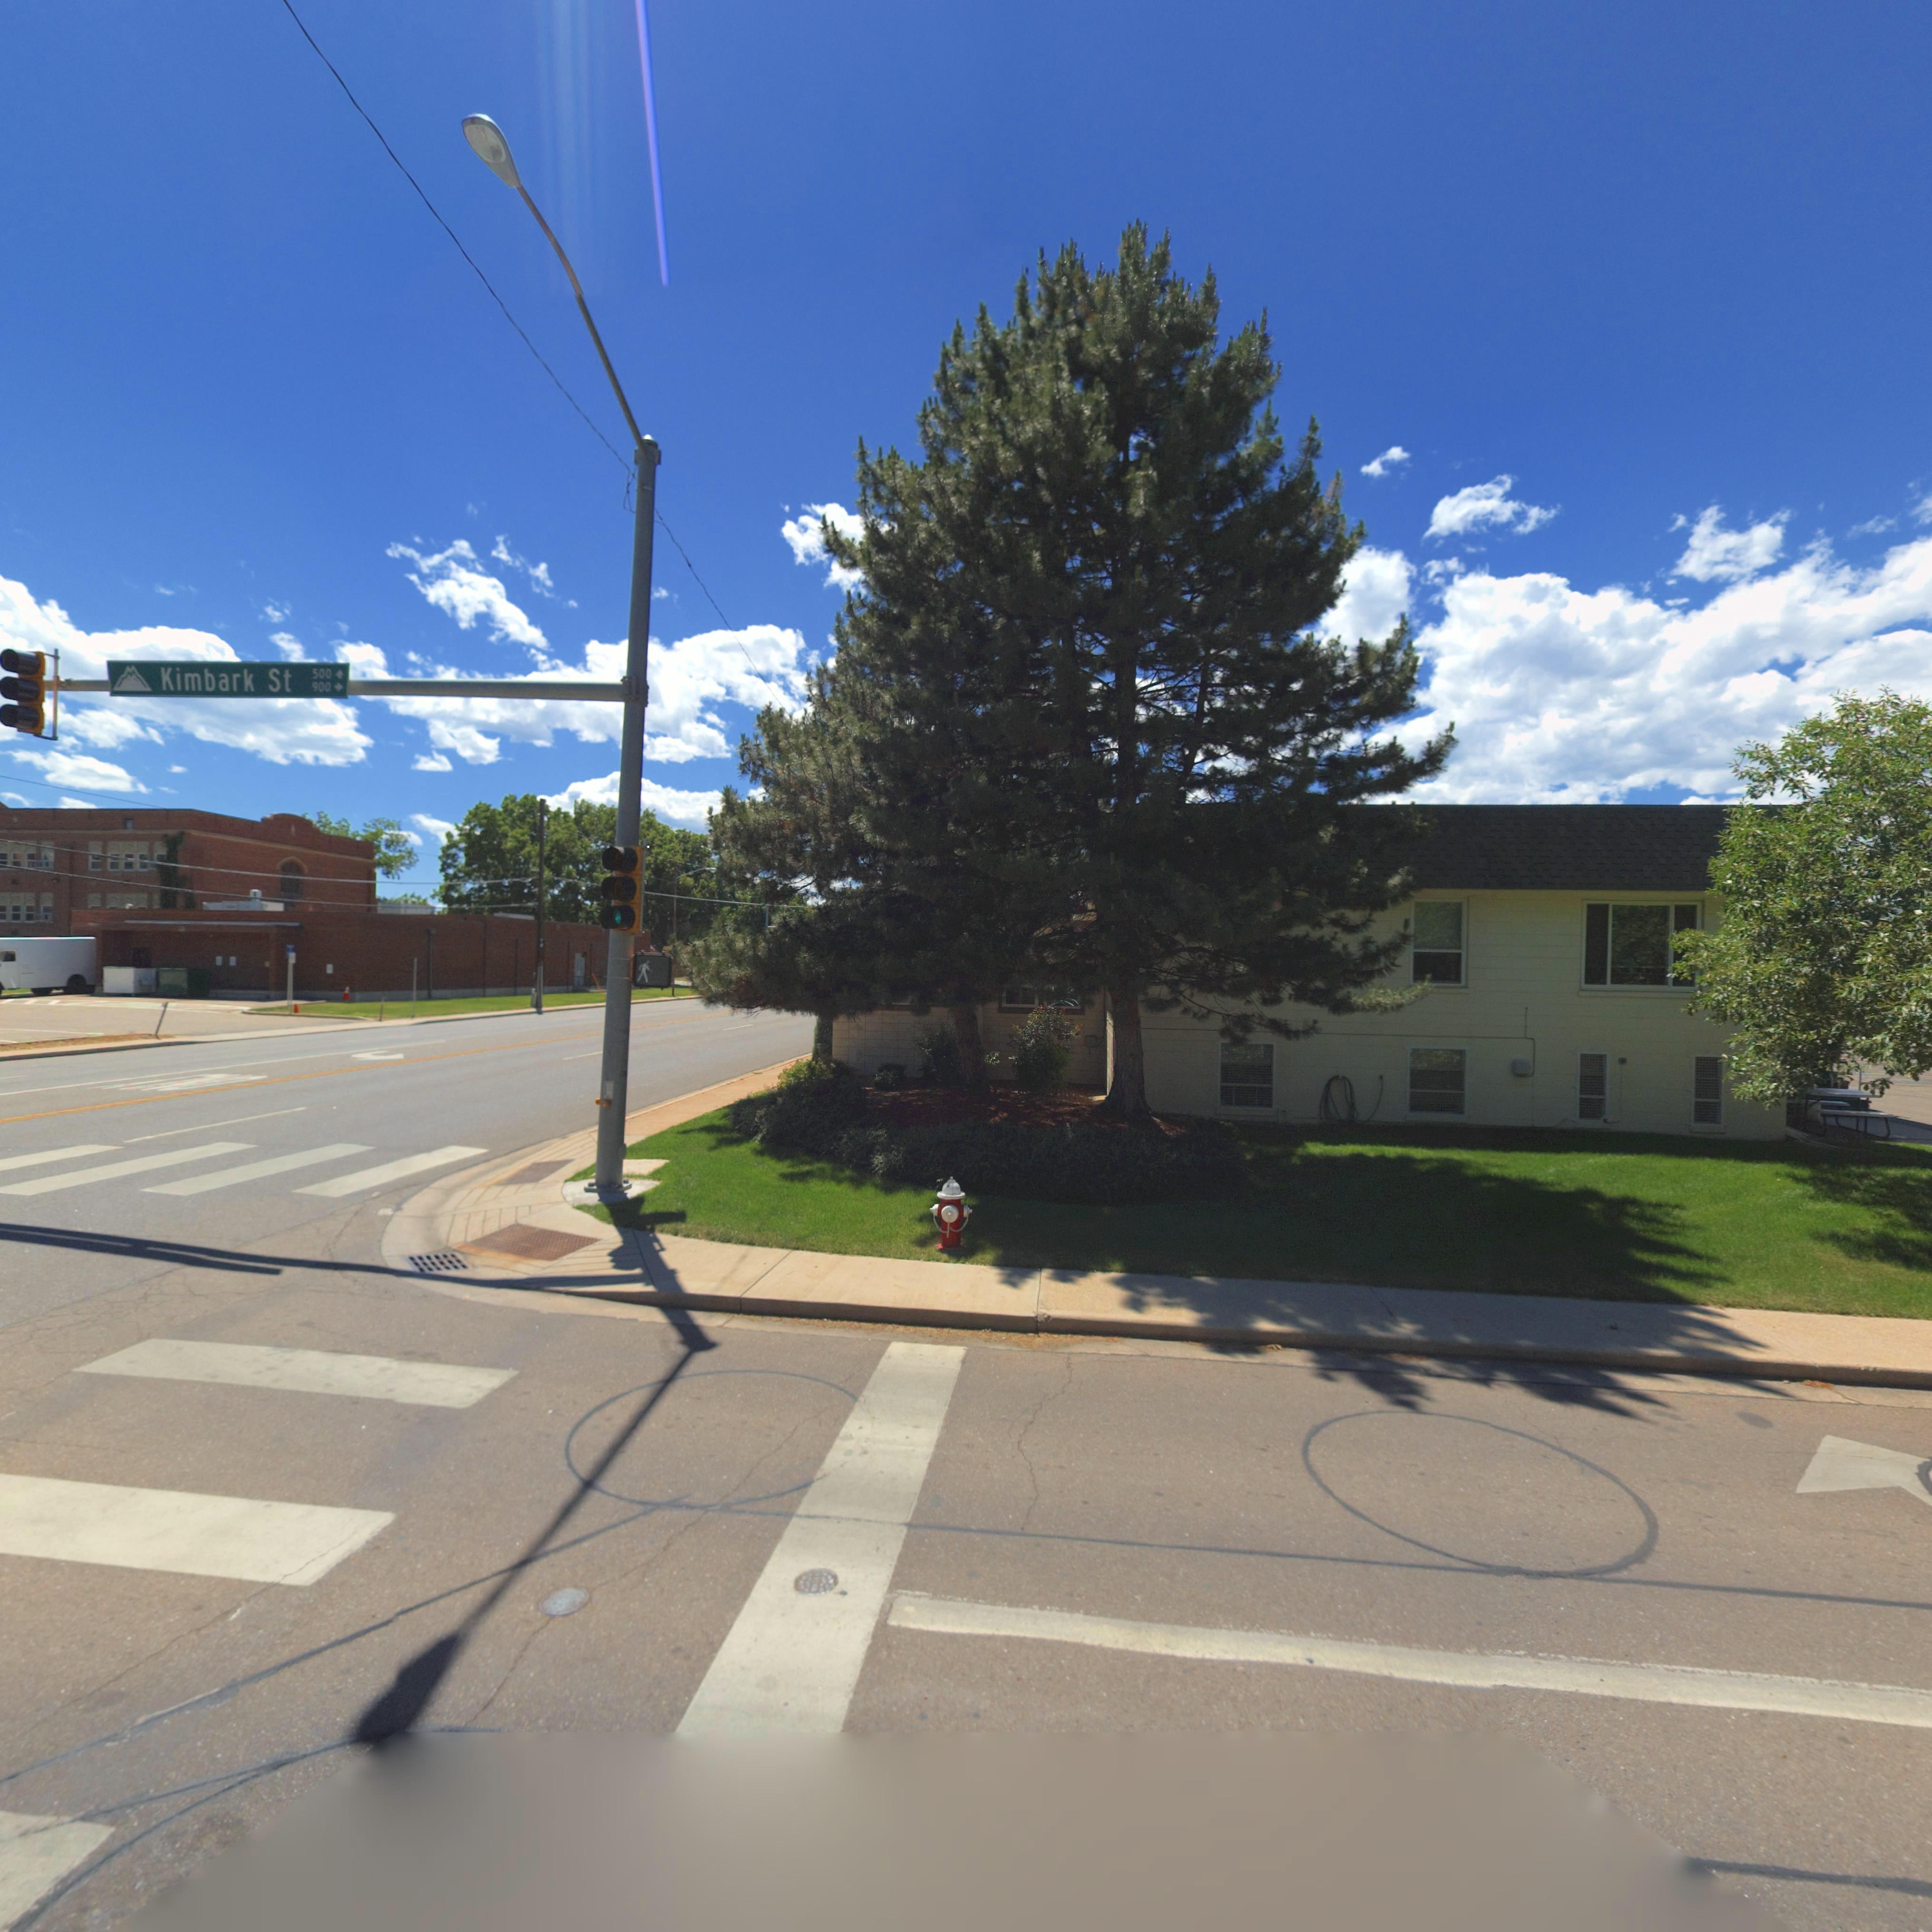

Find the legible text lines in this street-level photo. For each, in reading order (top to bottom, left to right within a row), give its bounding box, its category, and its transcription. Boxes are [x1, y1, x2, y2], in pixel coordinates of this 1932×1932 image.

[159, 666, 294, 693] StreetName: Kimbark St
[311, 667, 332, 679] StreetNumberRange: 500
[311, 680, 345, 692] StreetNumberRange: 900->